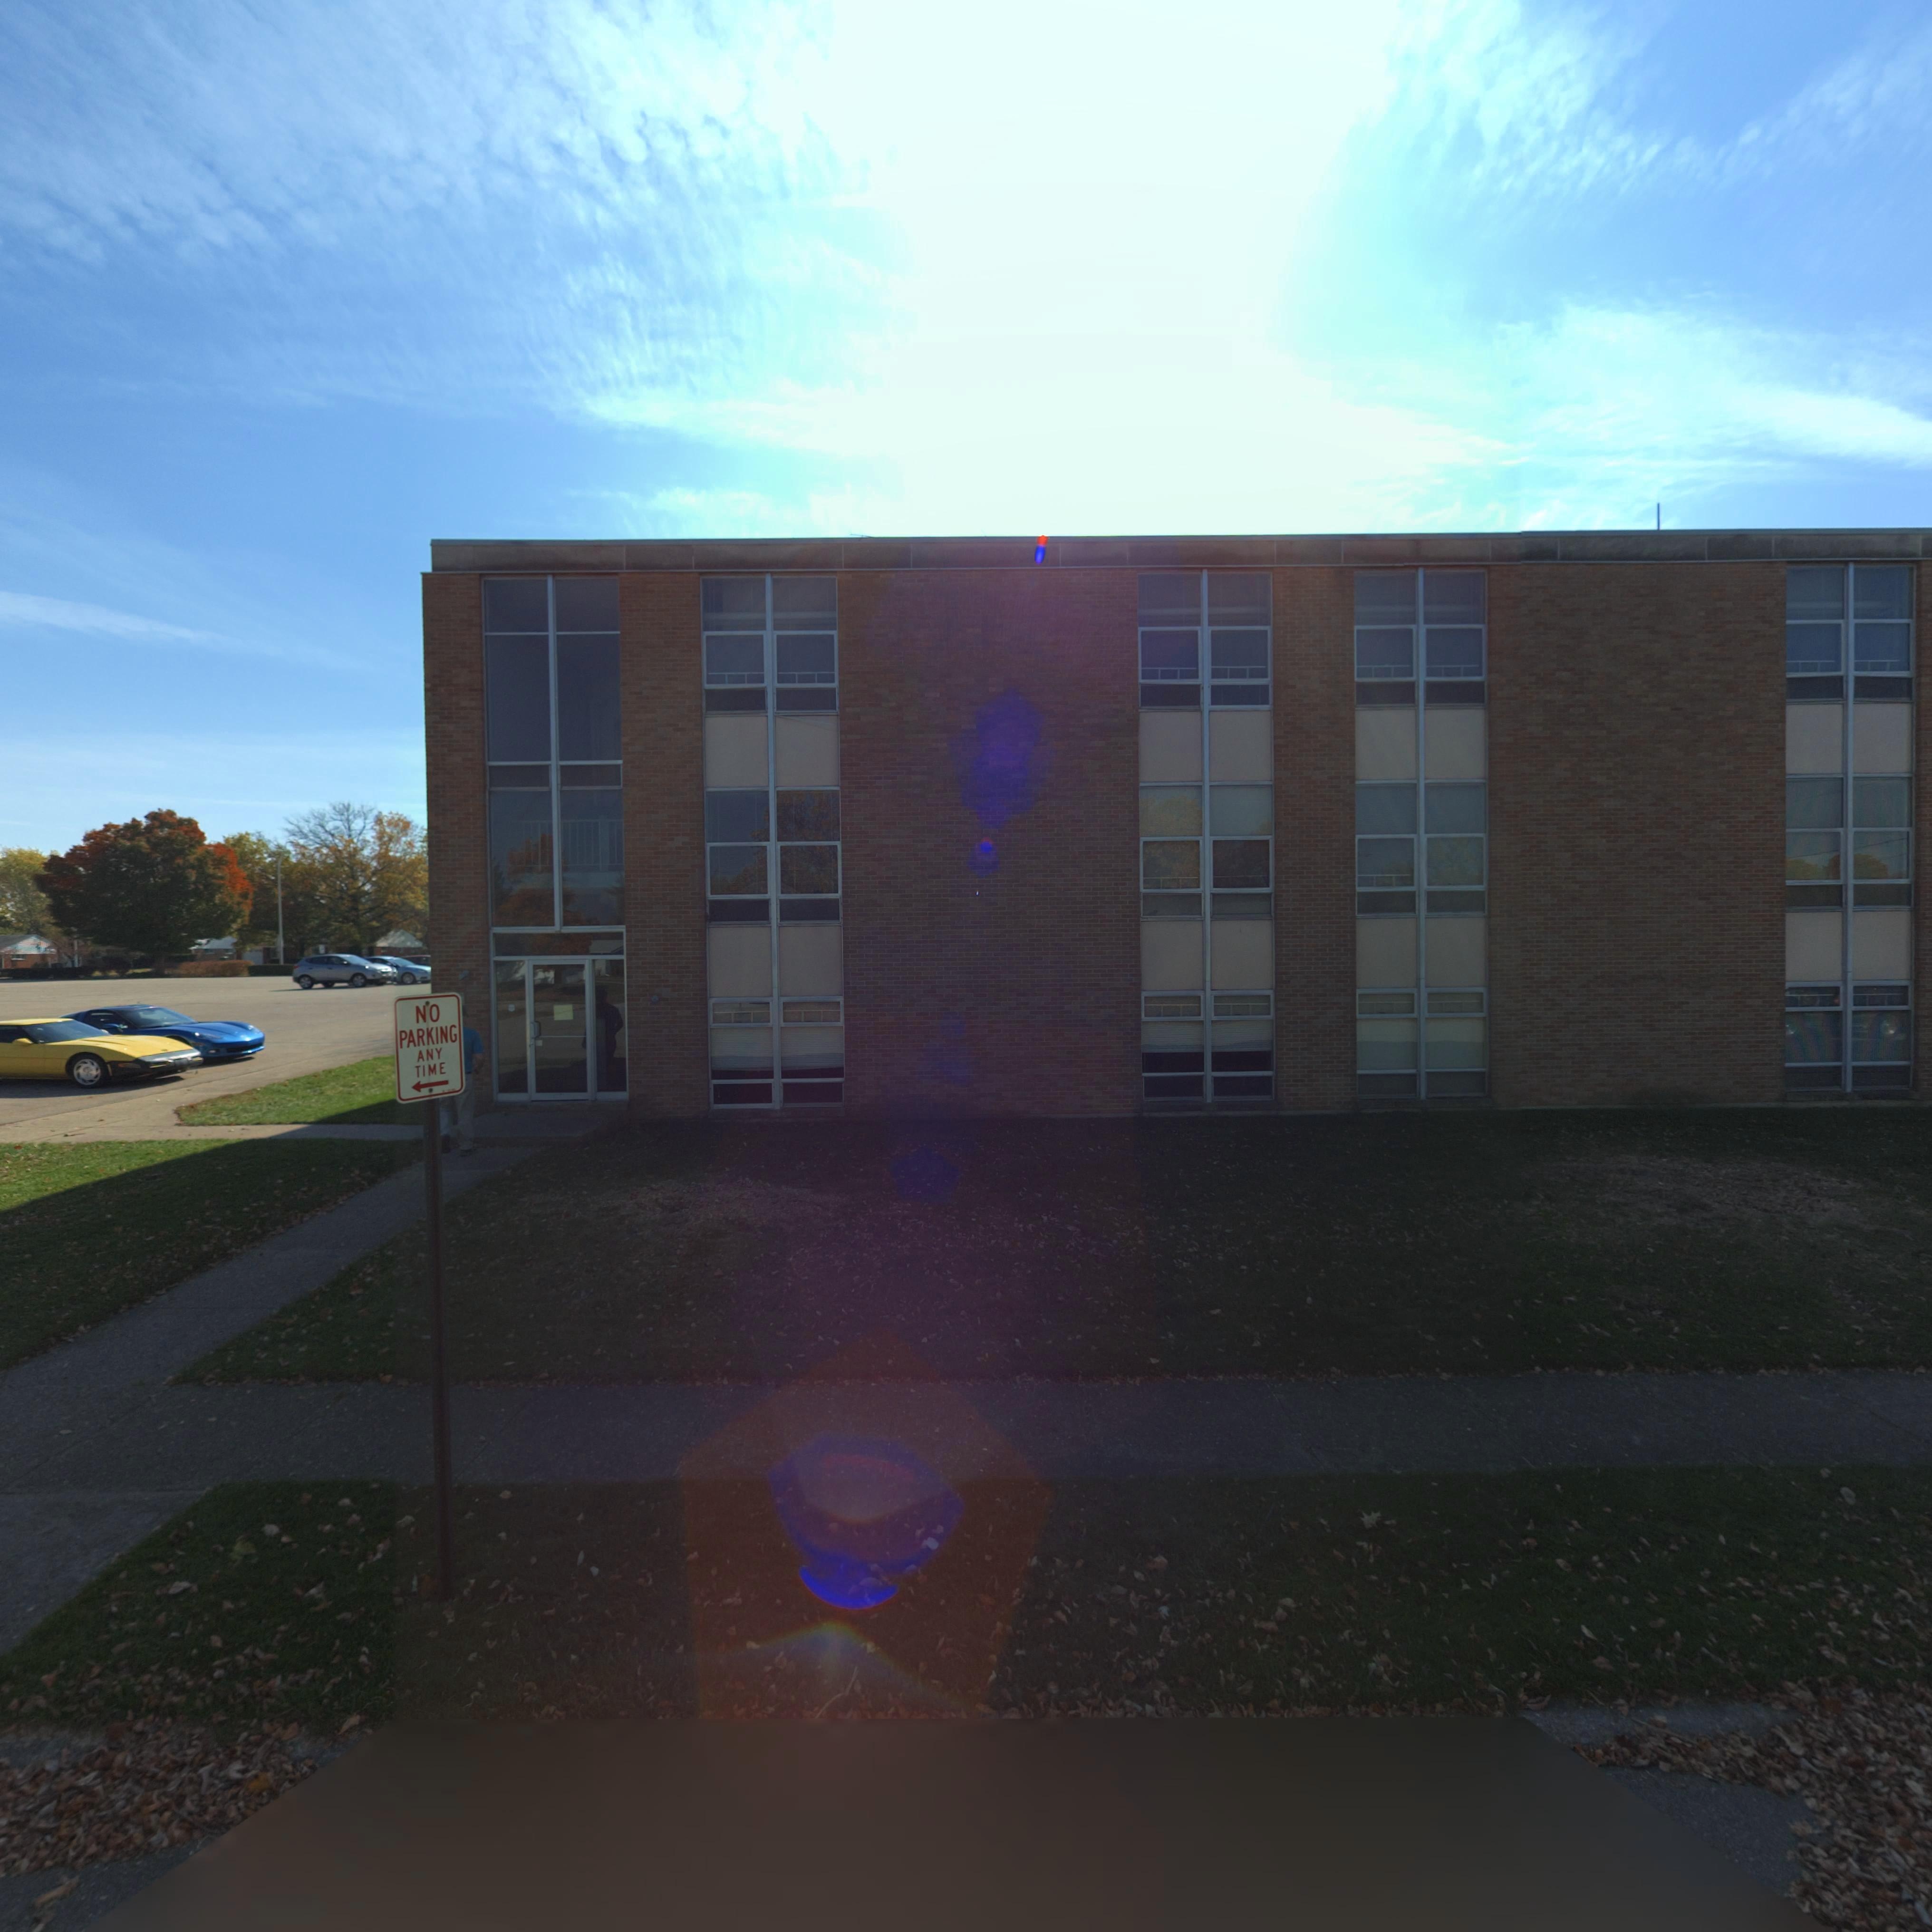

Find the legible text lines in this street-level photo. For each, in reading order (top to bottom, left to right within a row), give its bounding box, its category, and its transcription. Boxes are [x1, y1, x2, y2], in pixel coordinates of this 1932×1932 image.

[413, 1001, 443, 1026] None: NO
[397, 1022, 460, 1052] None: PARKING
[414, 1044, 444, 1065] None: ANY
[412, 1059, 449, 1081] None: TIME